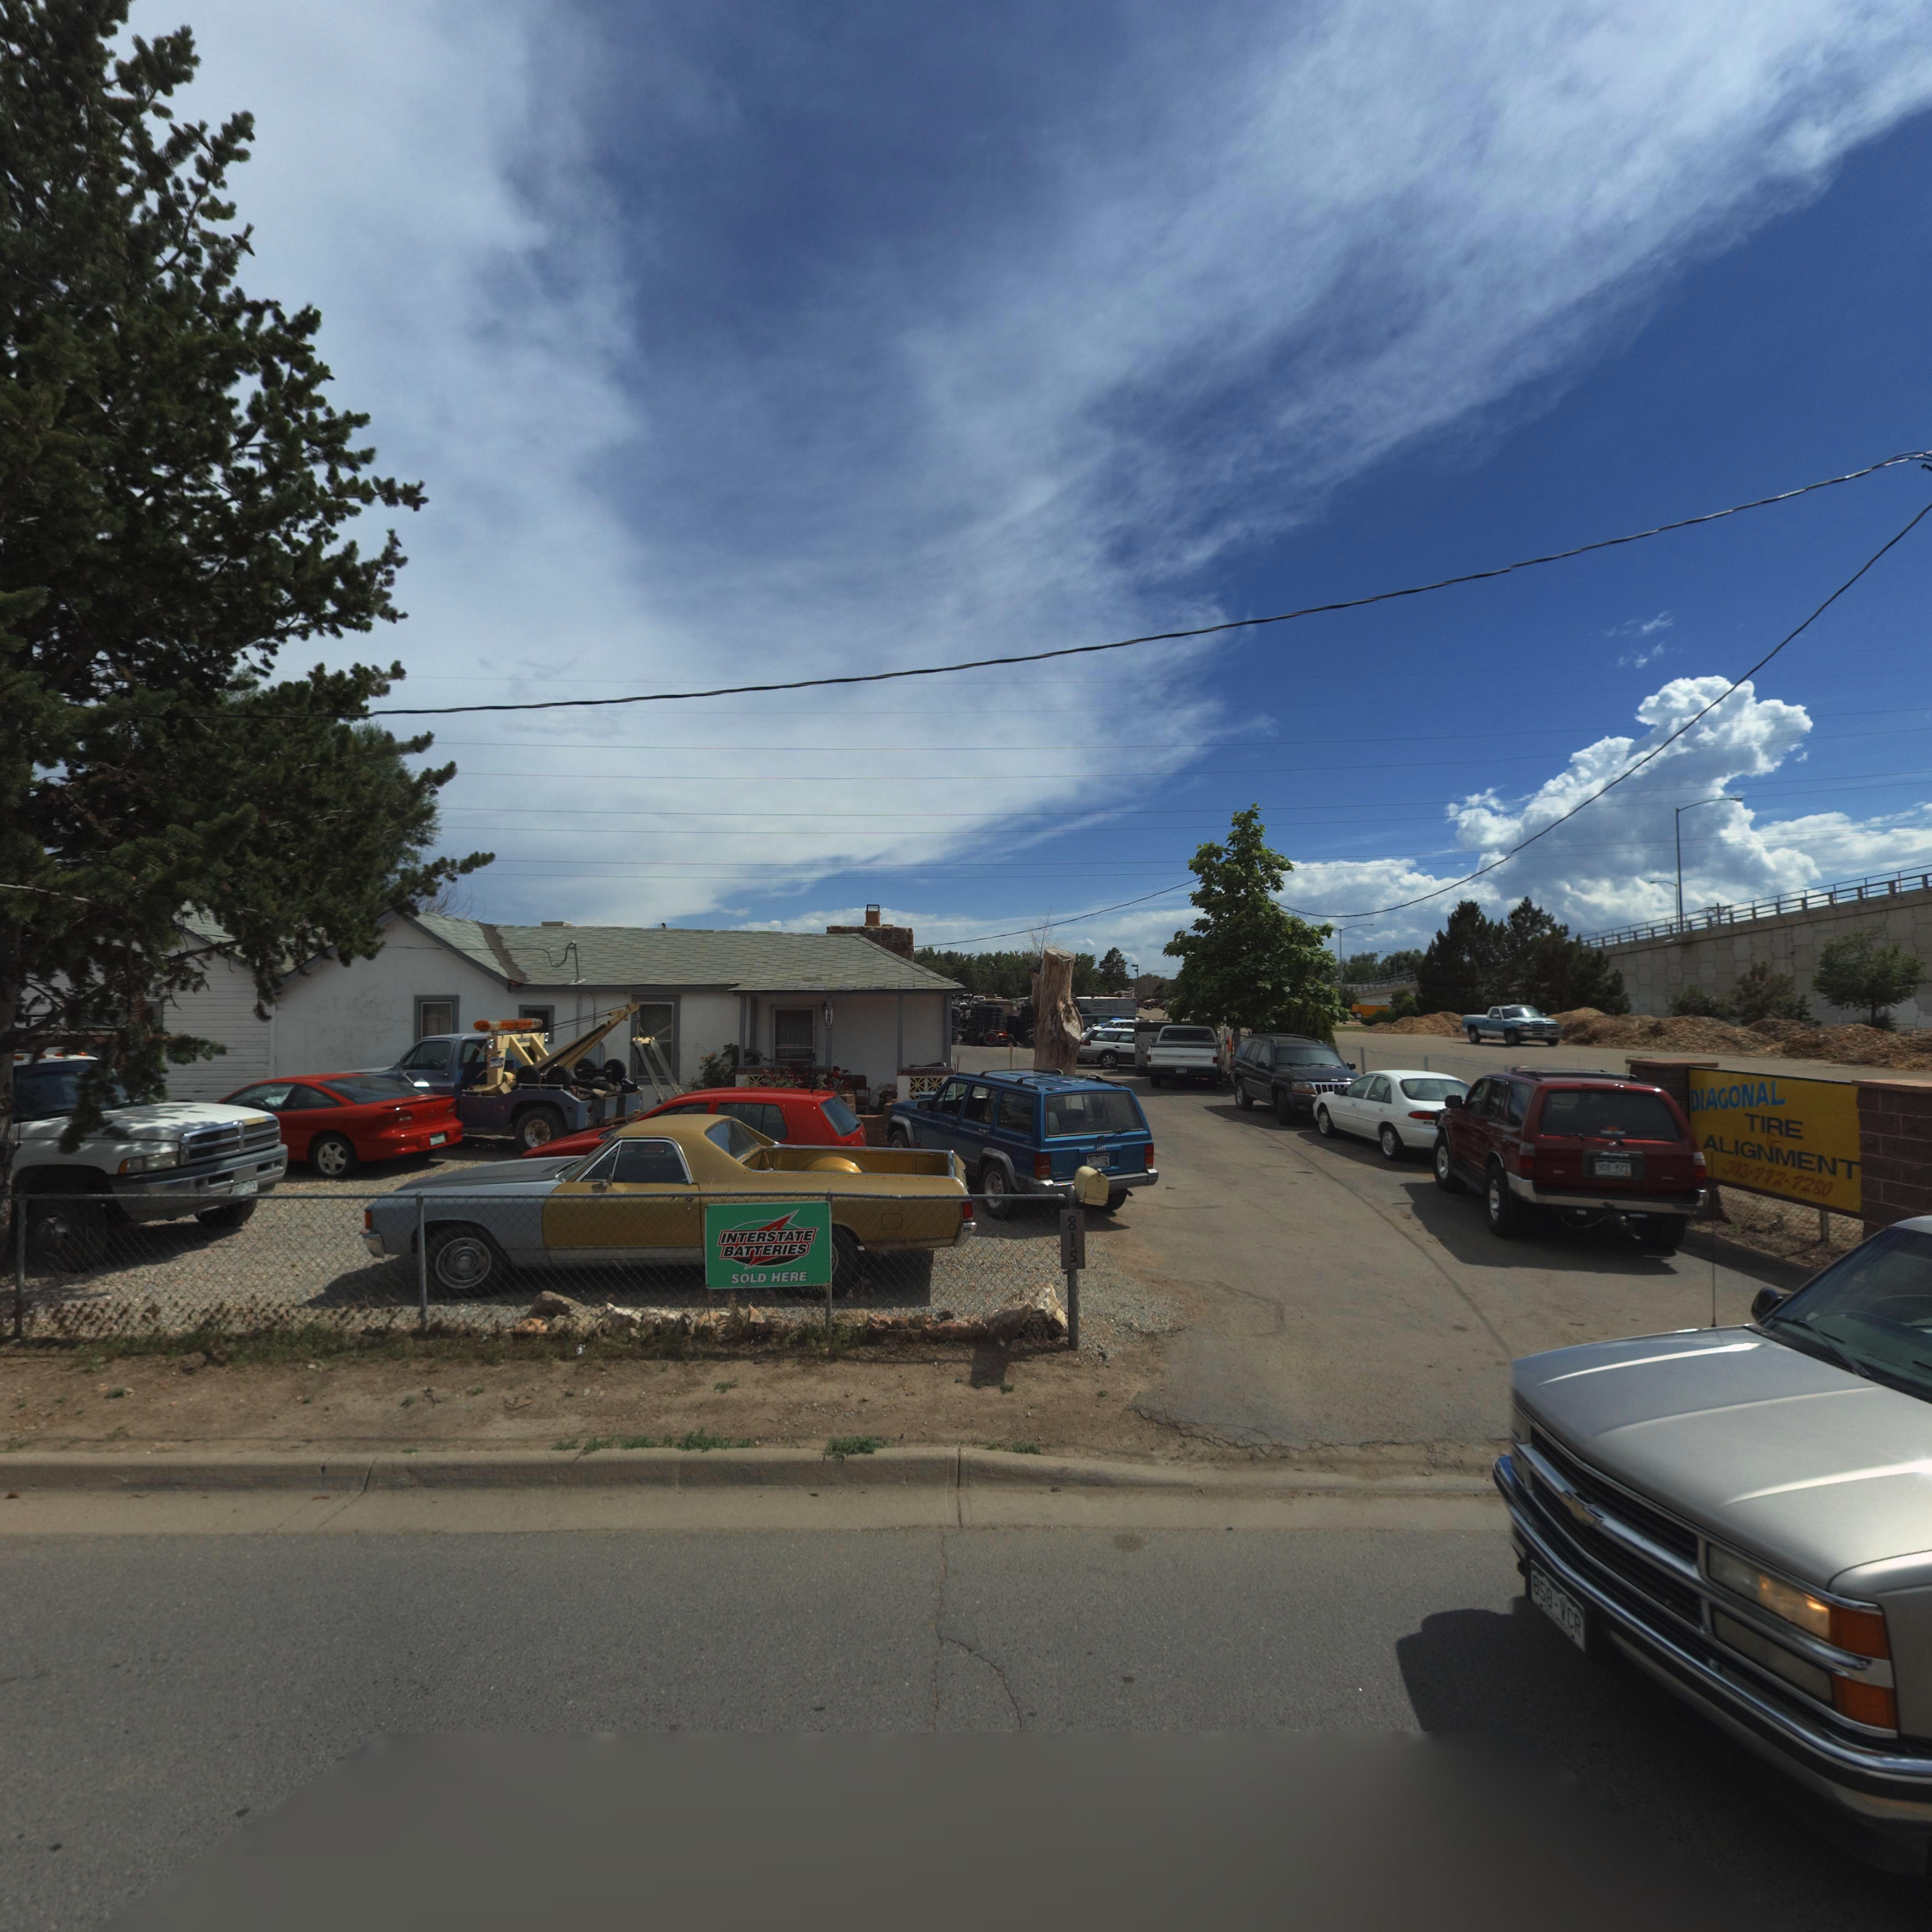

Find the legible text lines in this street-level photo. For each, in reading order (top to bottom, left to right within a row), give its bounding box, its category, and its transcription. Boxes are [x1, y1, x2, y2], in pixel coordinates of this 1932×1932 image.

[826, 1009, 830, 1026] StreetNumber: 815
[1689, 1080, 1787, 1112] BusinessName: DIAGONAL
[1743, 1111, 1804, 1140] BusinessName: TIRE
[1702, 1133, 1862, 1180] BusinessName: ALIGNMENT
[1066, 1214, 1077, 1264] StreetNumber: 815